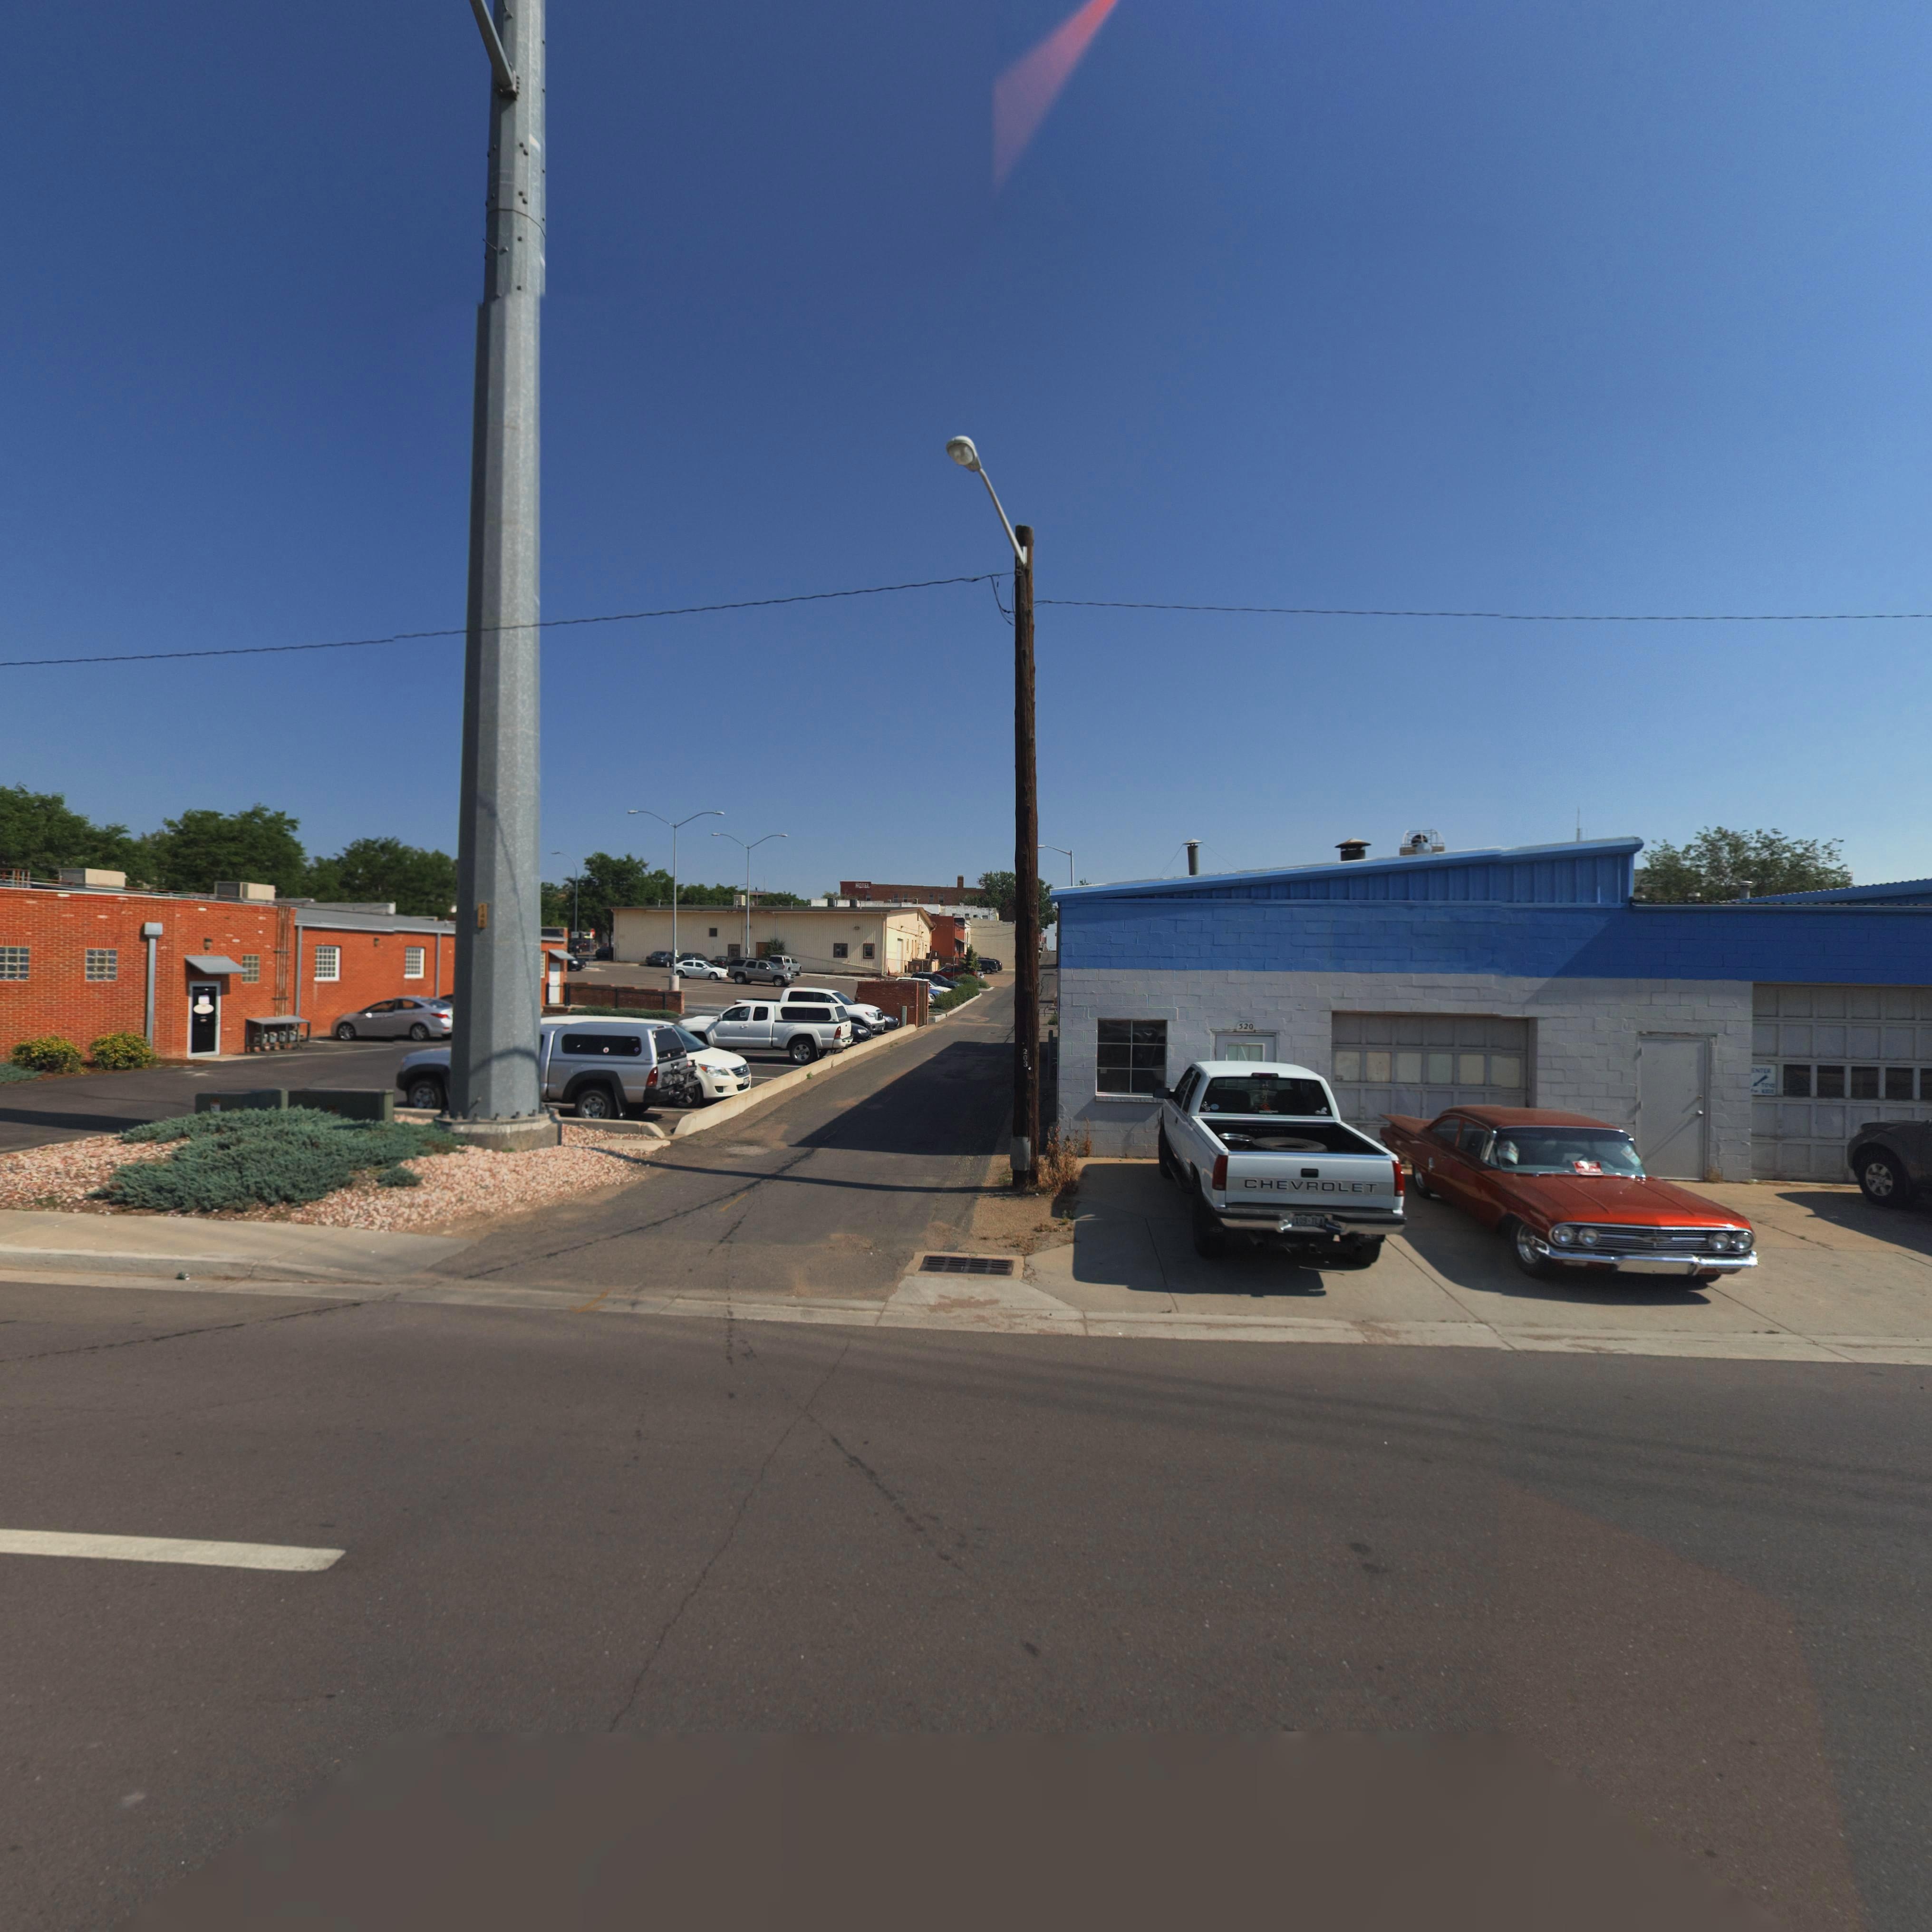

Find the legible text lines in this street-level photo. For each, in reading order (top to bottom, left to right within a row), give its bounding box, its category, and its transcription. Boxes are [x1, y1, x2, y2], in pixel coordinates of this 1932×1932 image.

[1238, 1023, 1254, 1030] StreetNumber: 520